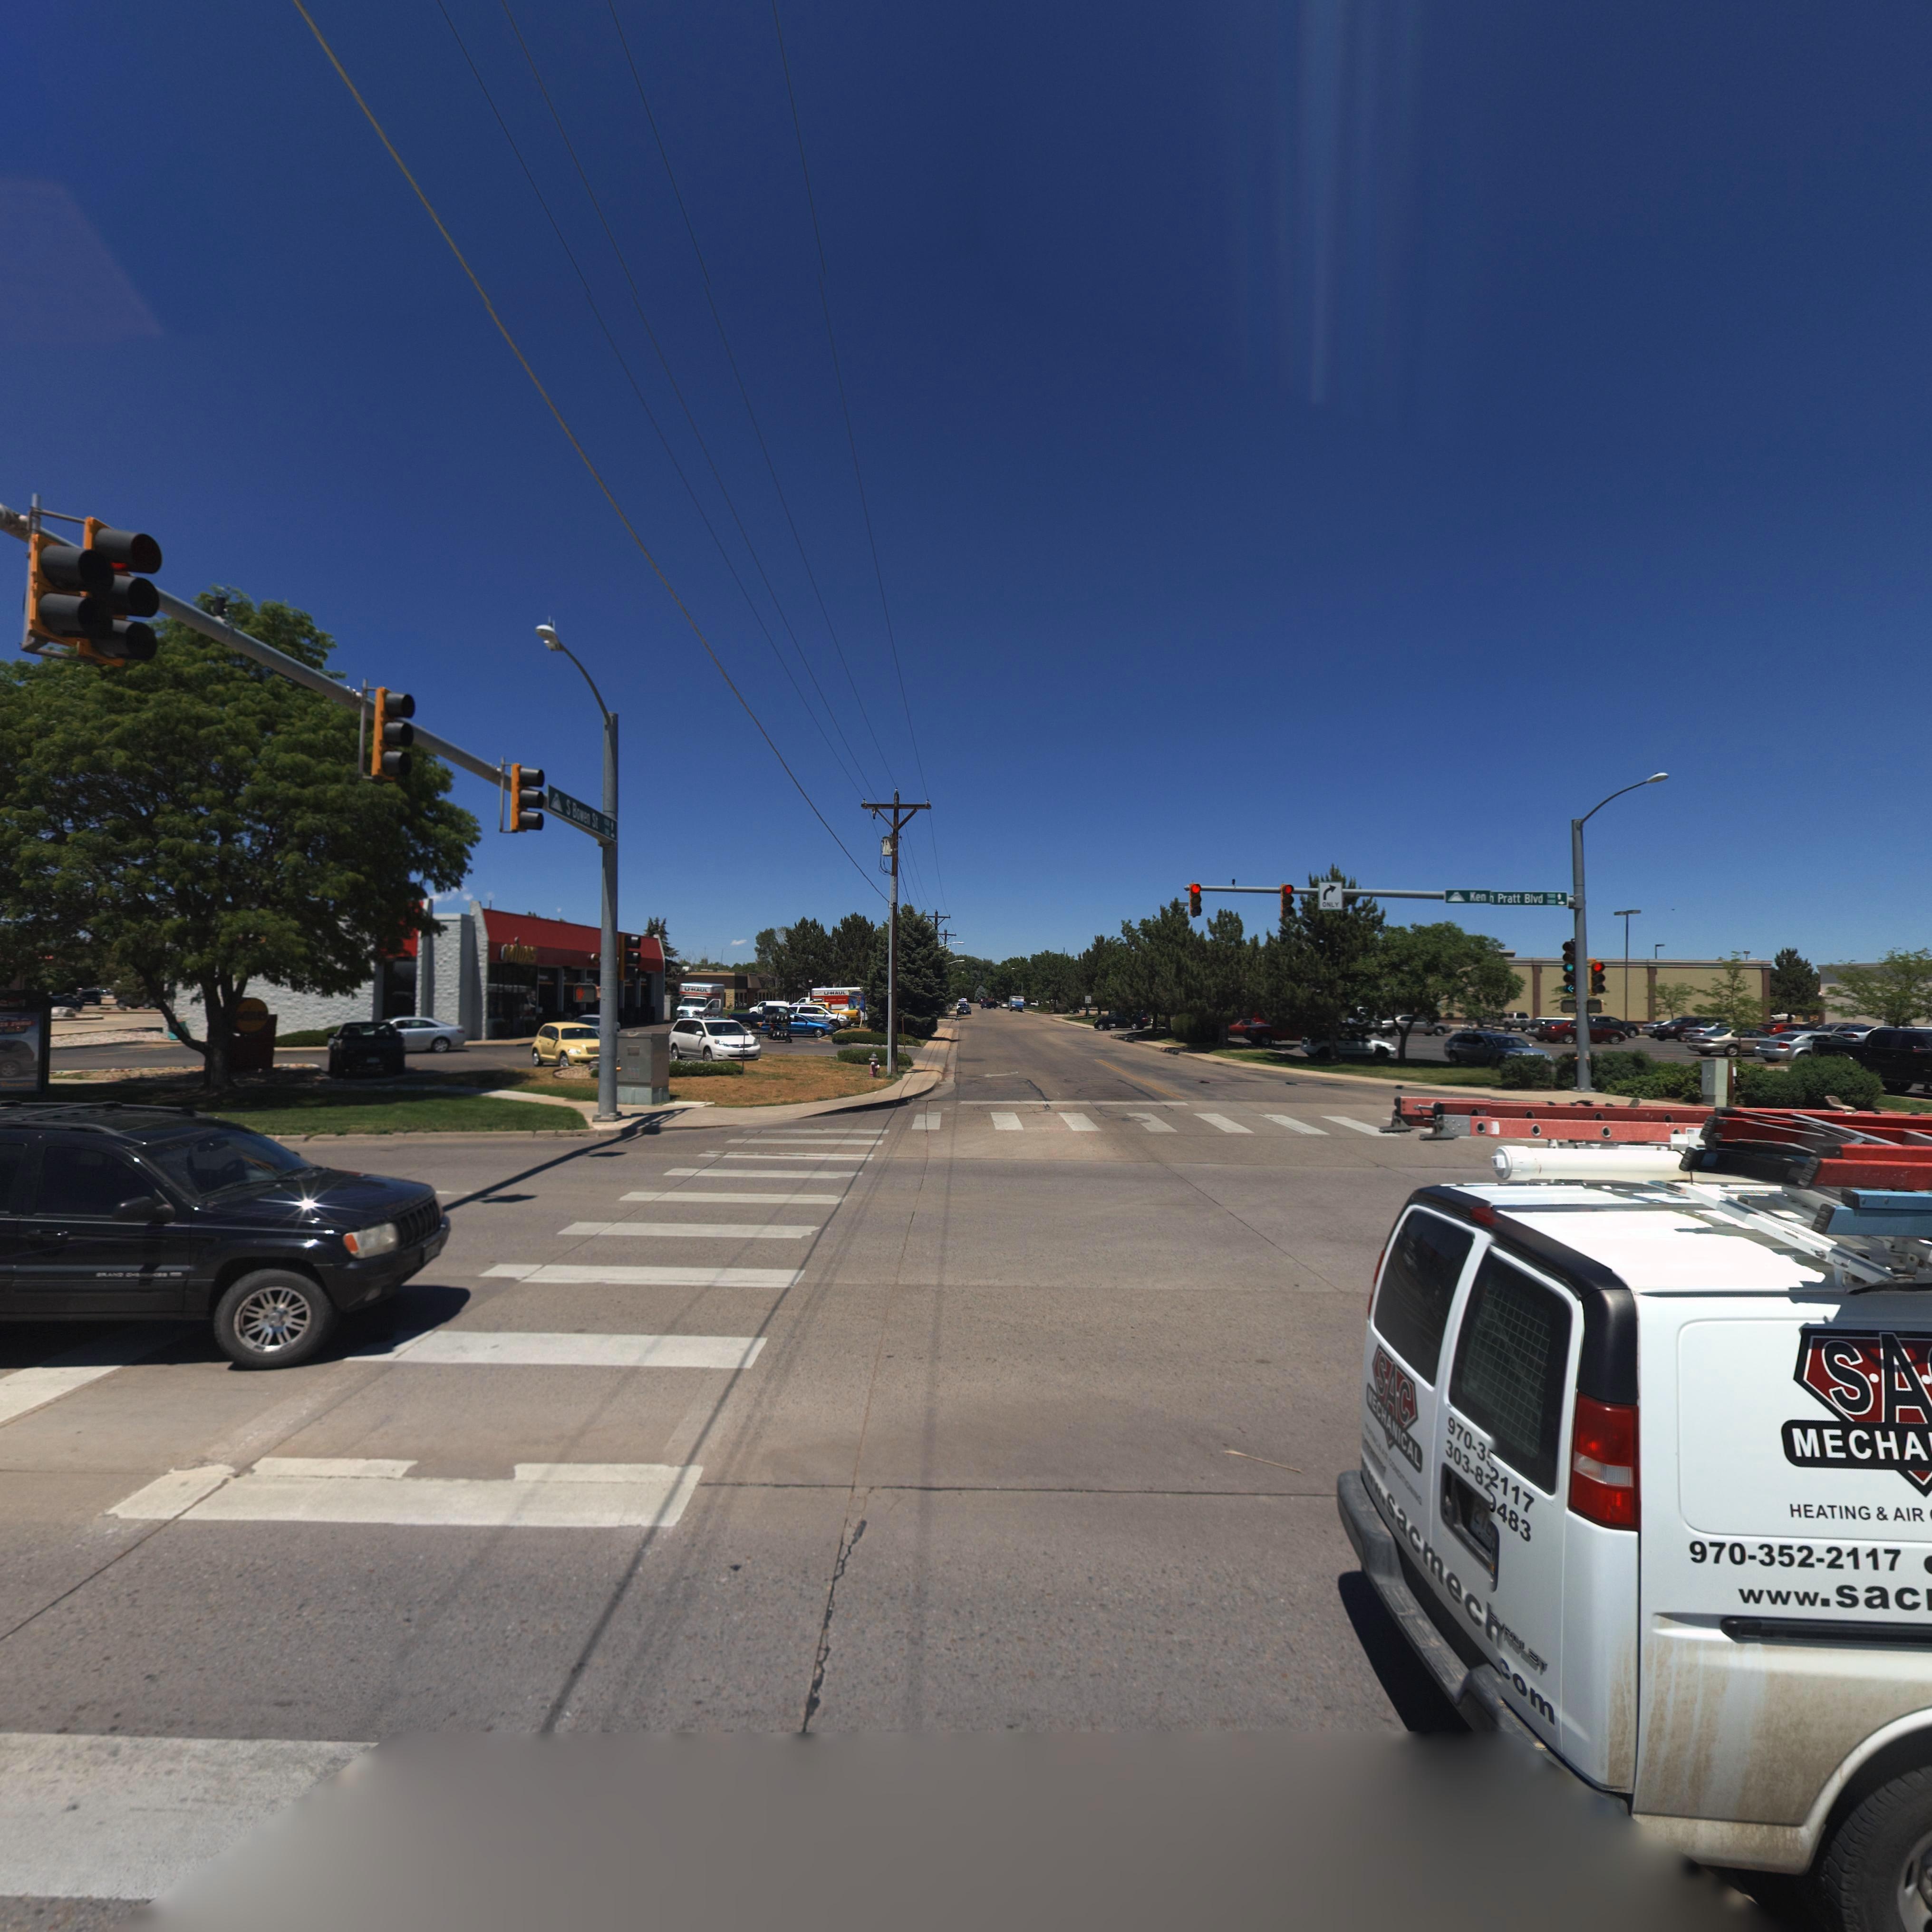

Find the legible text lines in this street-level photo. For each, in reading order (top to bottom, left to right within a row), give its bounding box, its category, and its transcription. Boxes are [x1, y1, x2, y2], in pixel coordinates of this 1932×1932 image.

[566, 799, 599, 831] StreetName: S Bowen St
[1469, 891, 1543, 904] StreetName: Ken n Pratt Blvd
[1546, 893, 1556, 898] StreetNumber: 500
[1546, 899, 1566, 905] StreetNumberRange: **00->
[503, 935, 537, 963] BusinessName: MiDAS
[234, 1005, 269, 1022] BusinessName: Mi**S